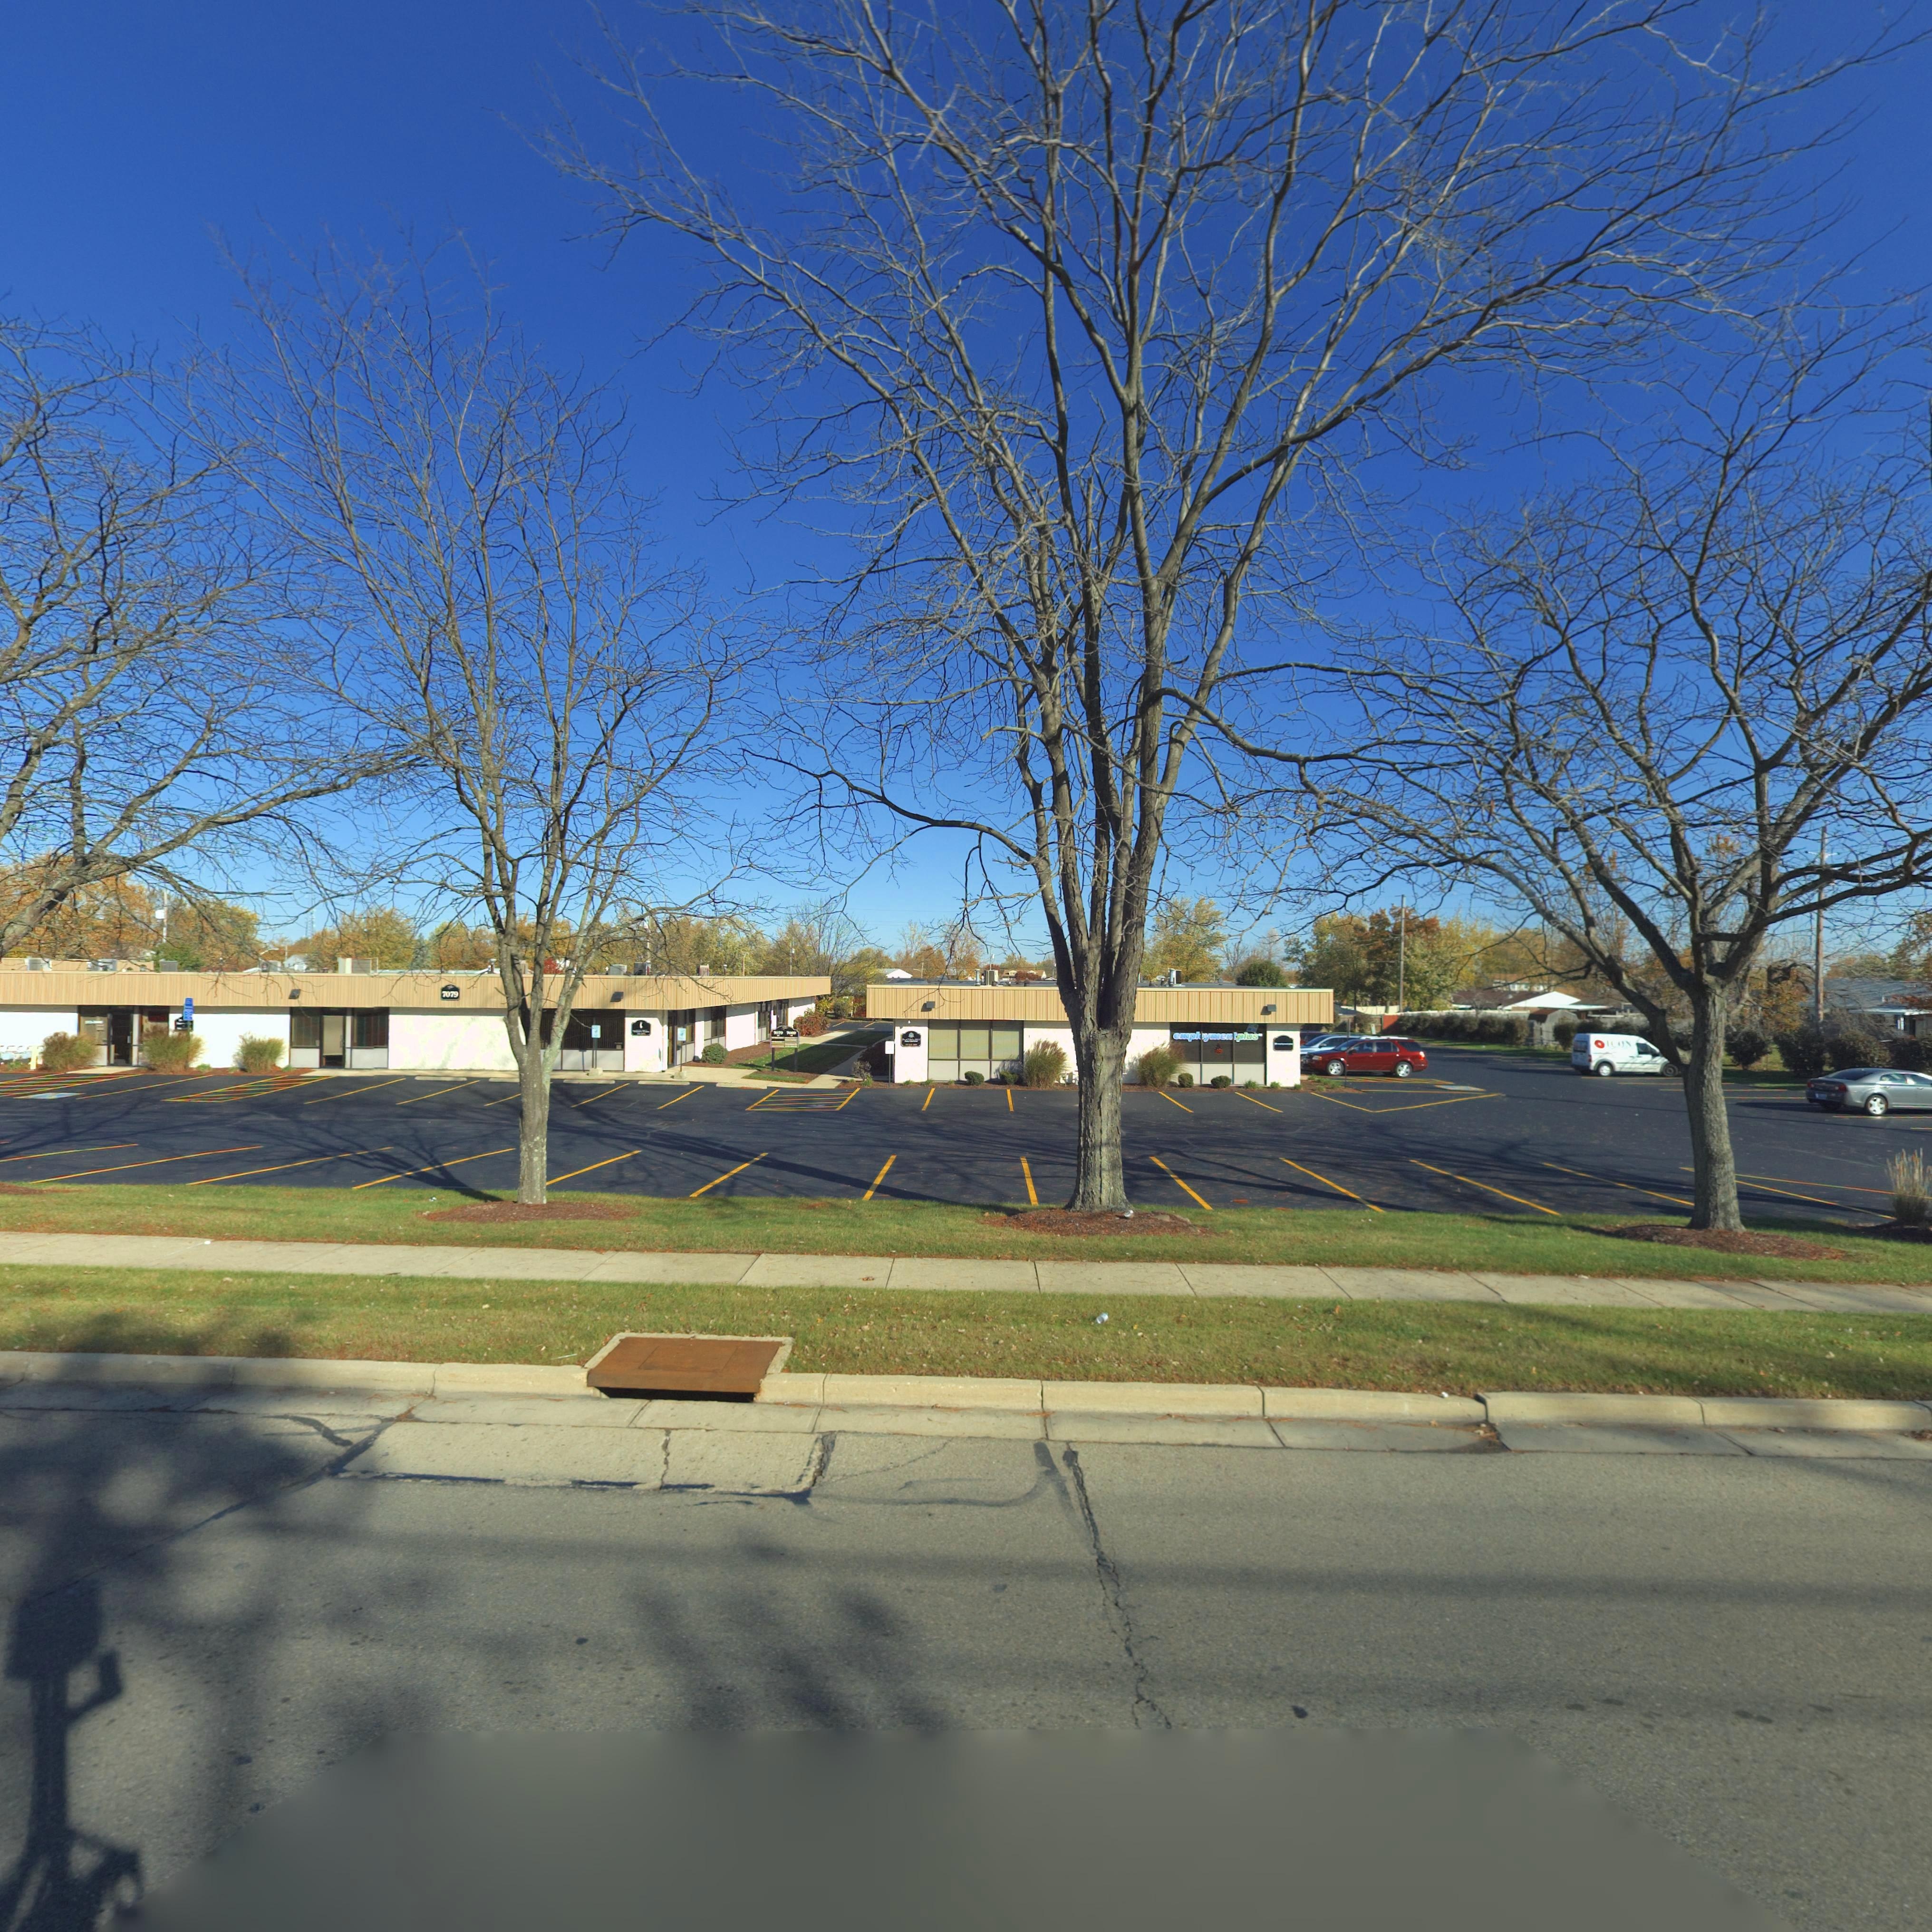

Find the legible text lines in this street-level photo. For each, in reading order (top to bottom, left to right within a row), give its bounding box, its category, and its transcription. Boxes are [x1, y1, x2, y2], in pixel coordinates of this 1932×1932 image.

[441, 990, 460, 999] StreetNumber: 7079
[772, 1030, 784, 1036] StreetNumber: *0*9
[1171, 1030, 1260, 1043] BusinessName: empl*ymen*plus